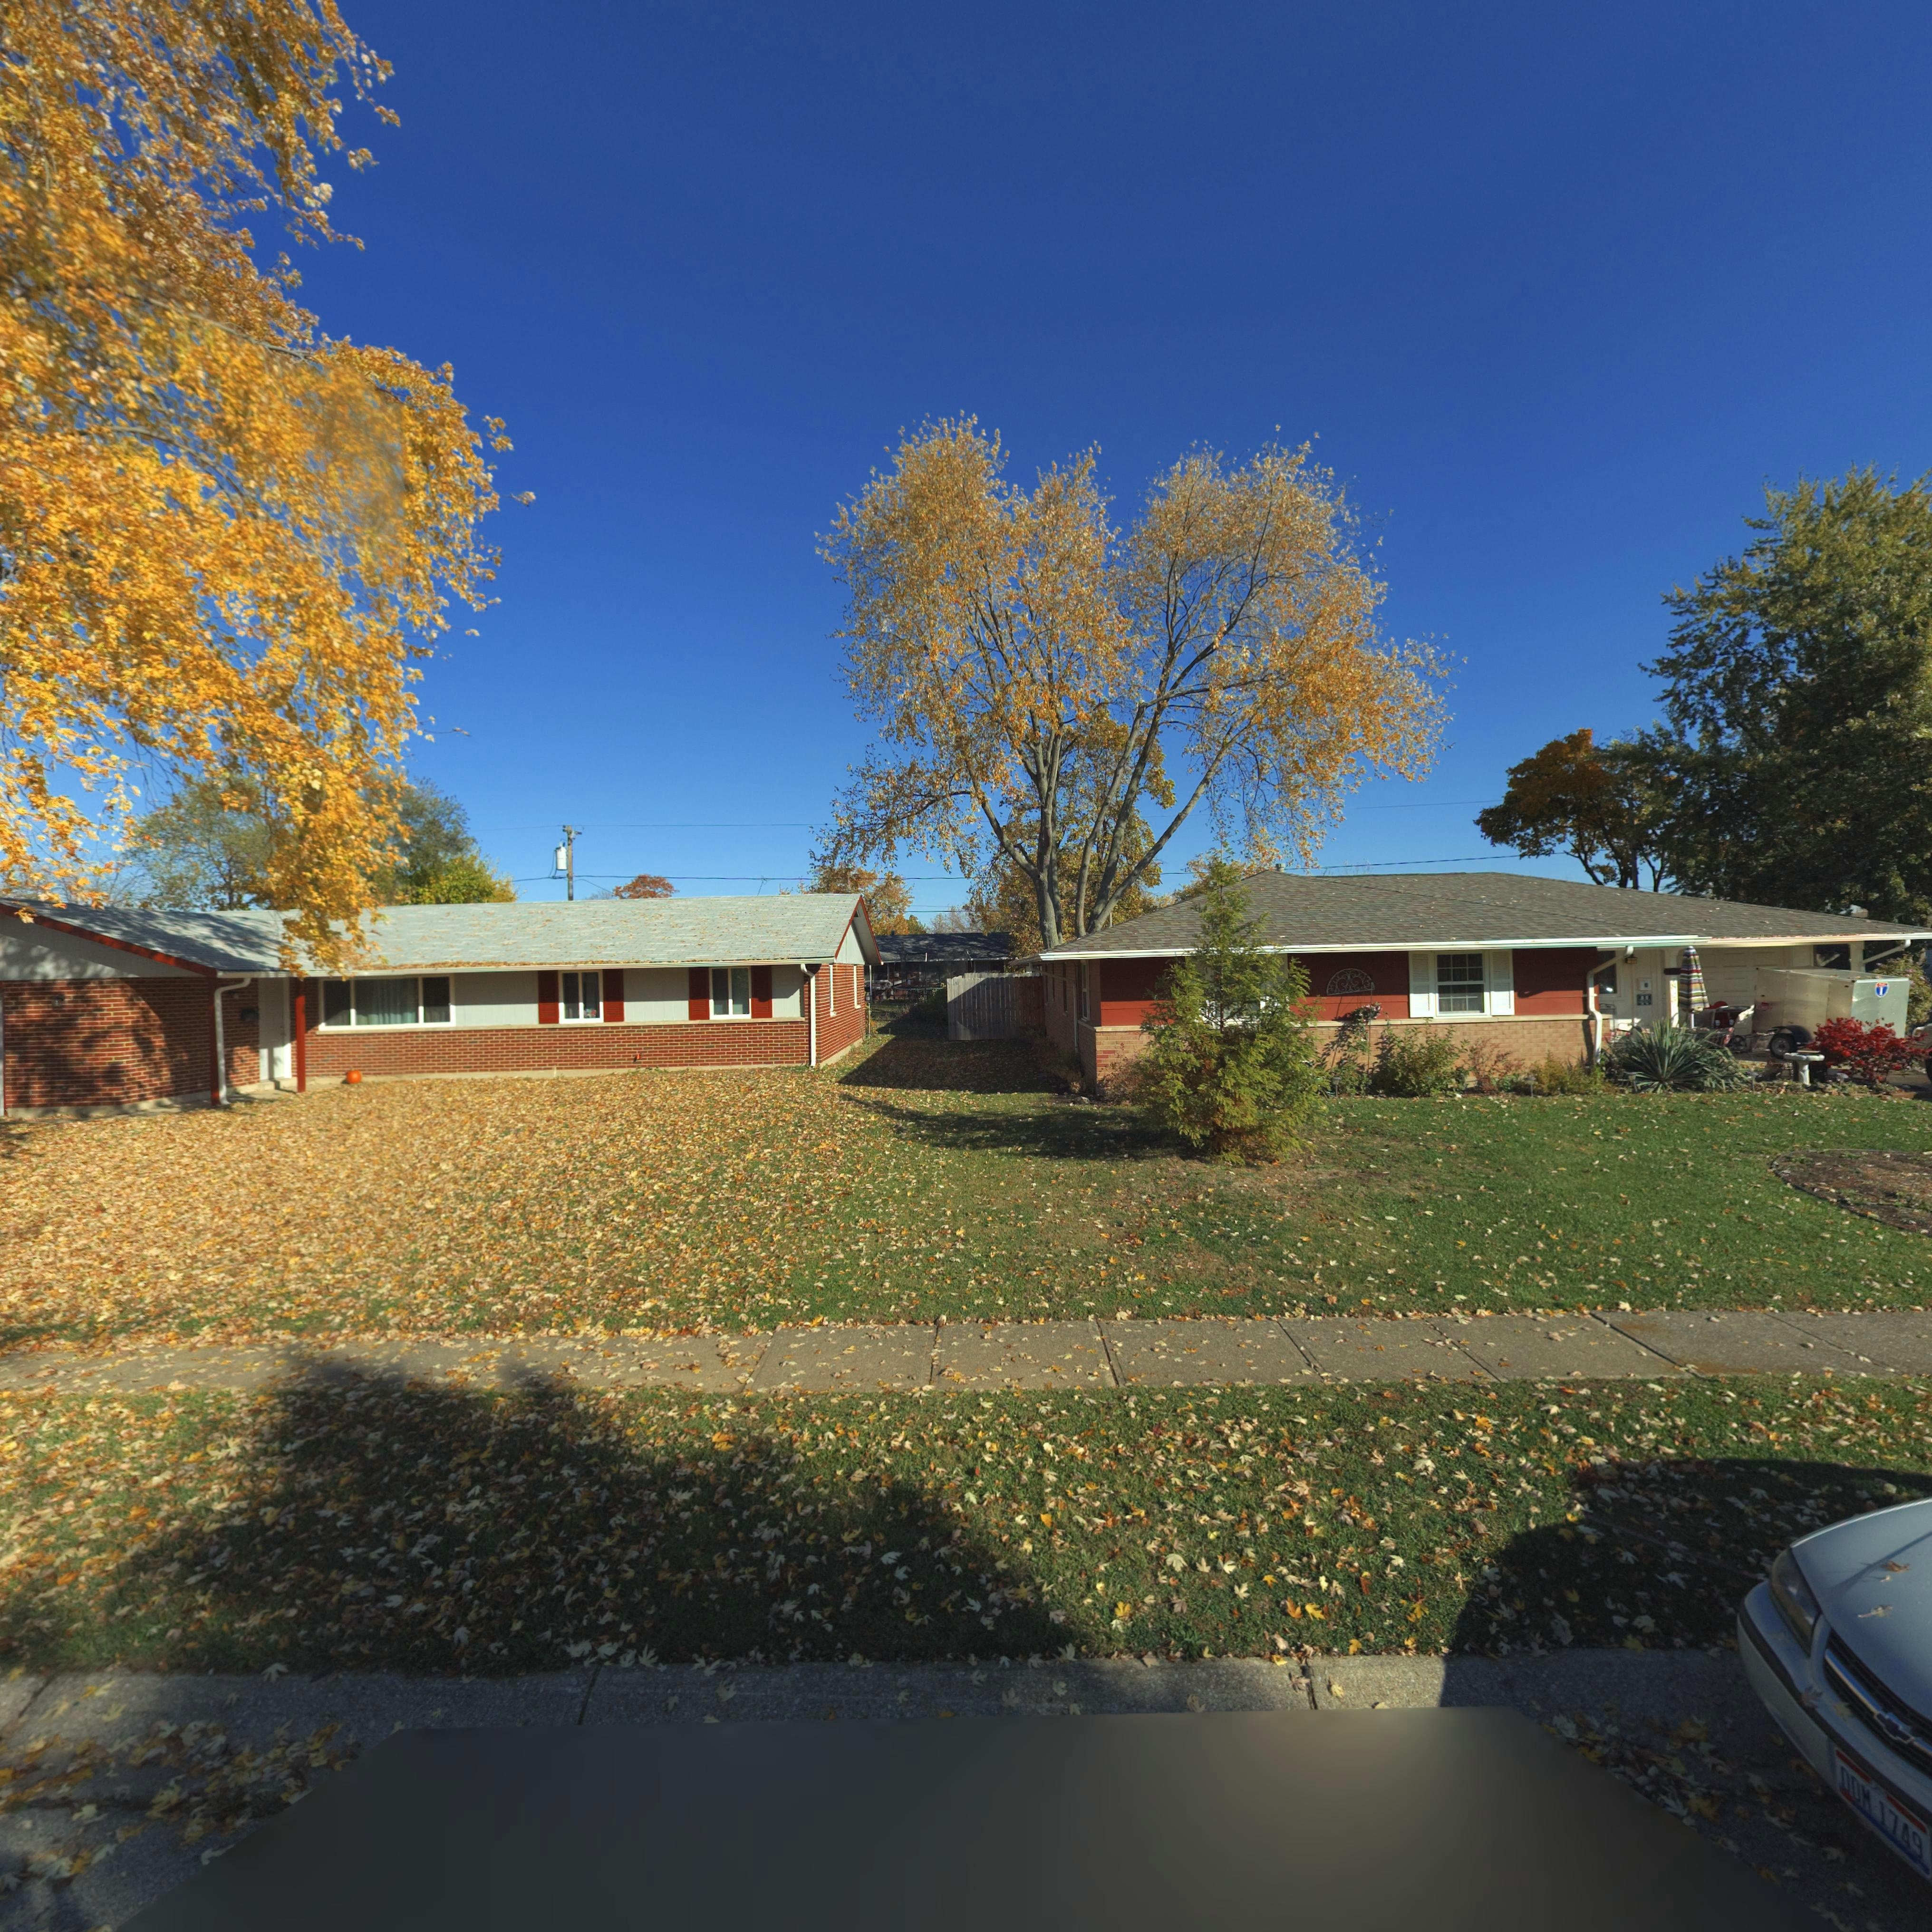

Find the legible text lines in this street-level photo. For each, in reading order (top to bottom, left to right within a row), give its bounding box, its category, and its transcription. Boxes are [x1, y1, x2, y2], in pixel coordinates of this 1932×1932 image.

[1670, 976, 1677, 991] StreetNumber: 78